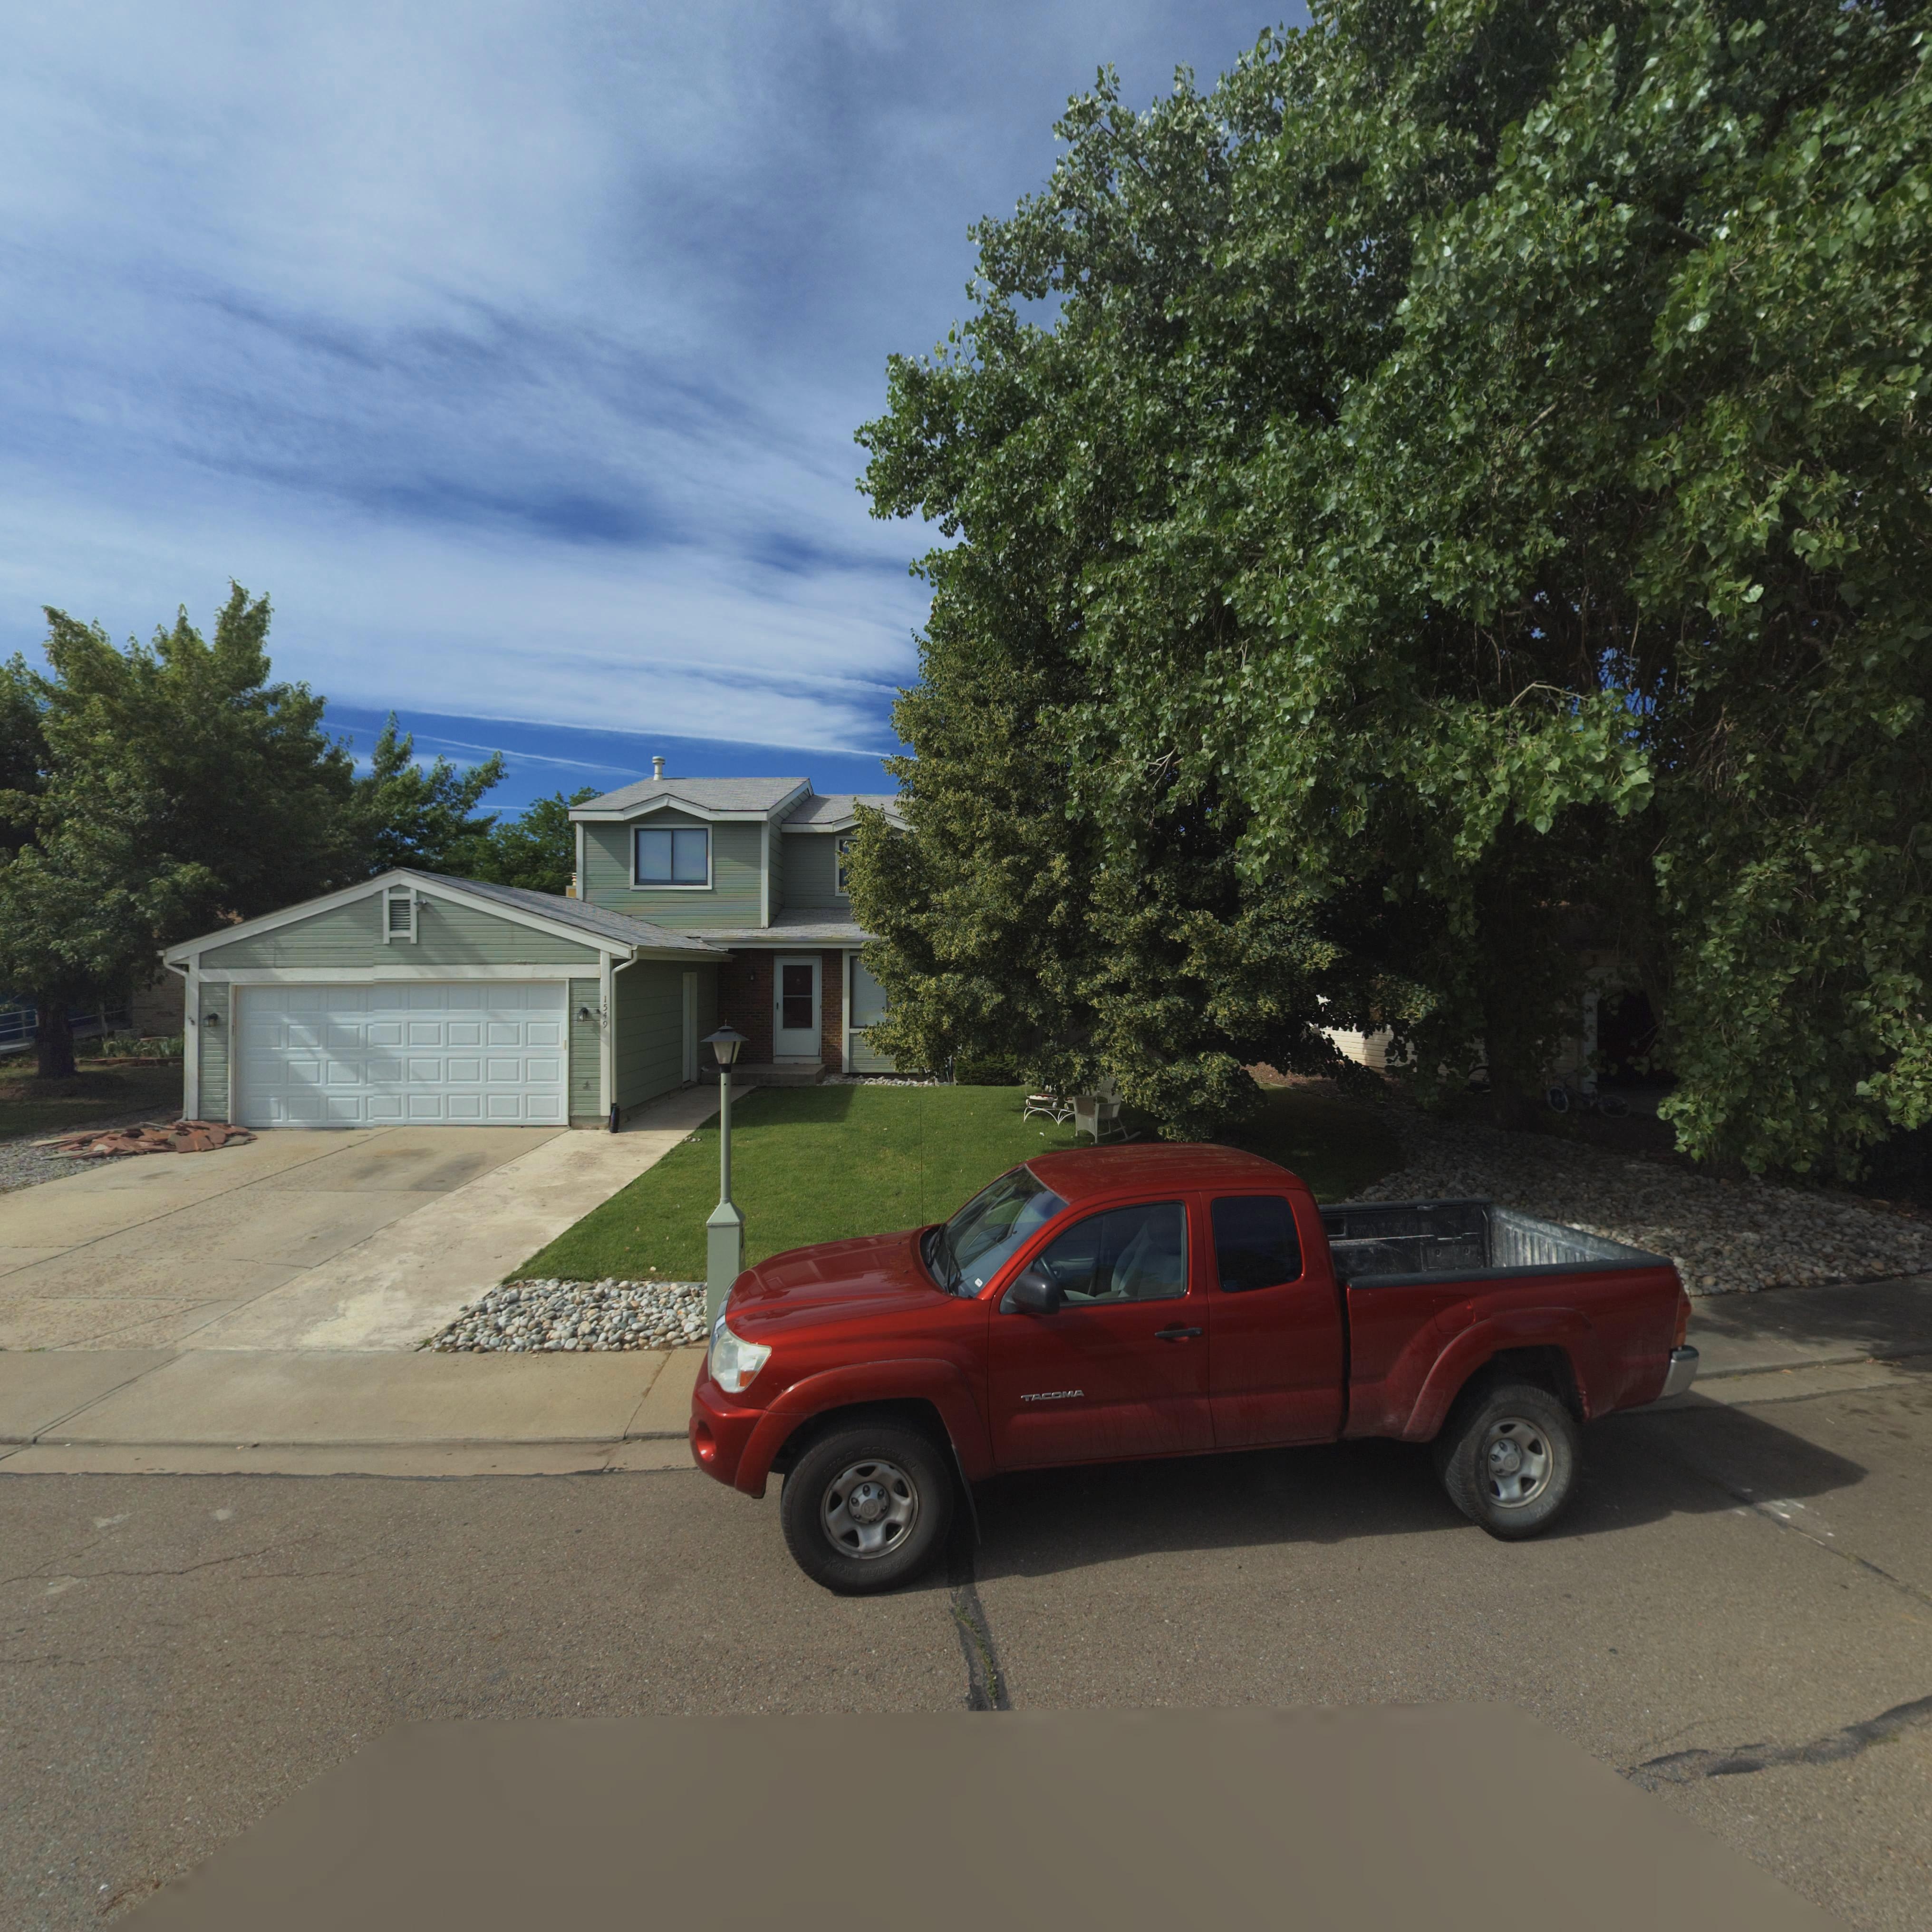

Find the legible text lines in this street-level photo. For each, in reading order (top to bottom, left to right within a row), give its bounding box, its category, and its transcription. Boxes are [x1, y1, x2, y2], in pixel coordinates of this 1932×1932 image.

[601, 995, 609, 1028] StreetNumber: 1549